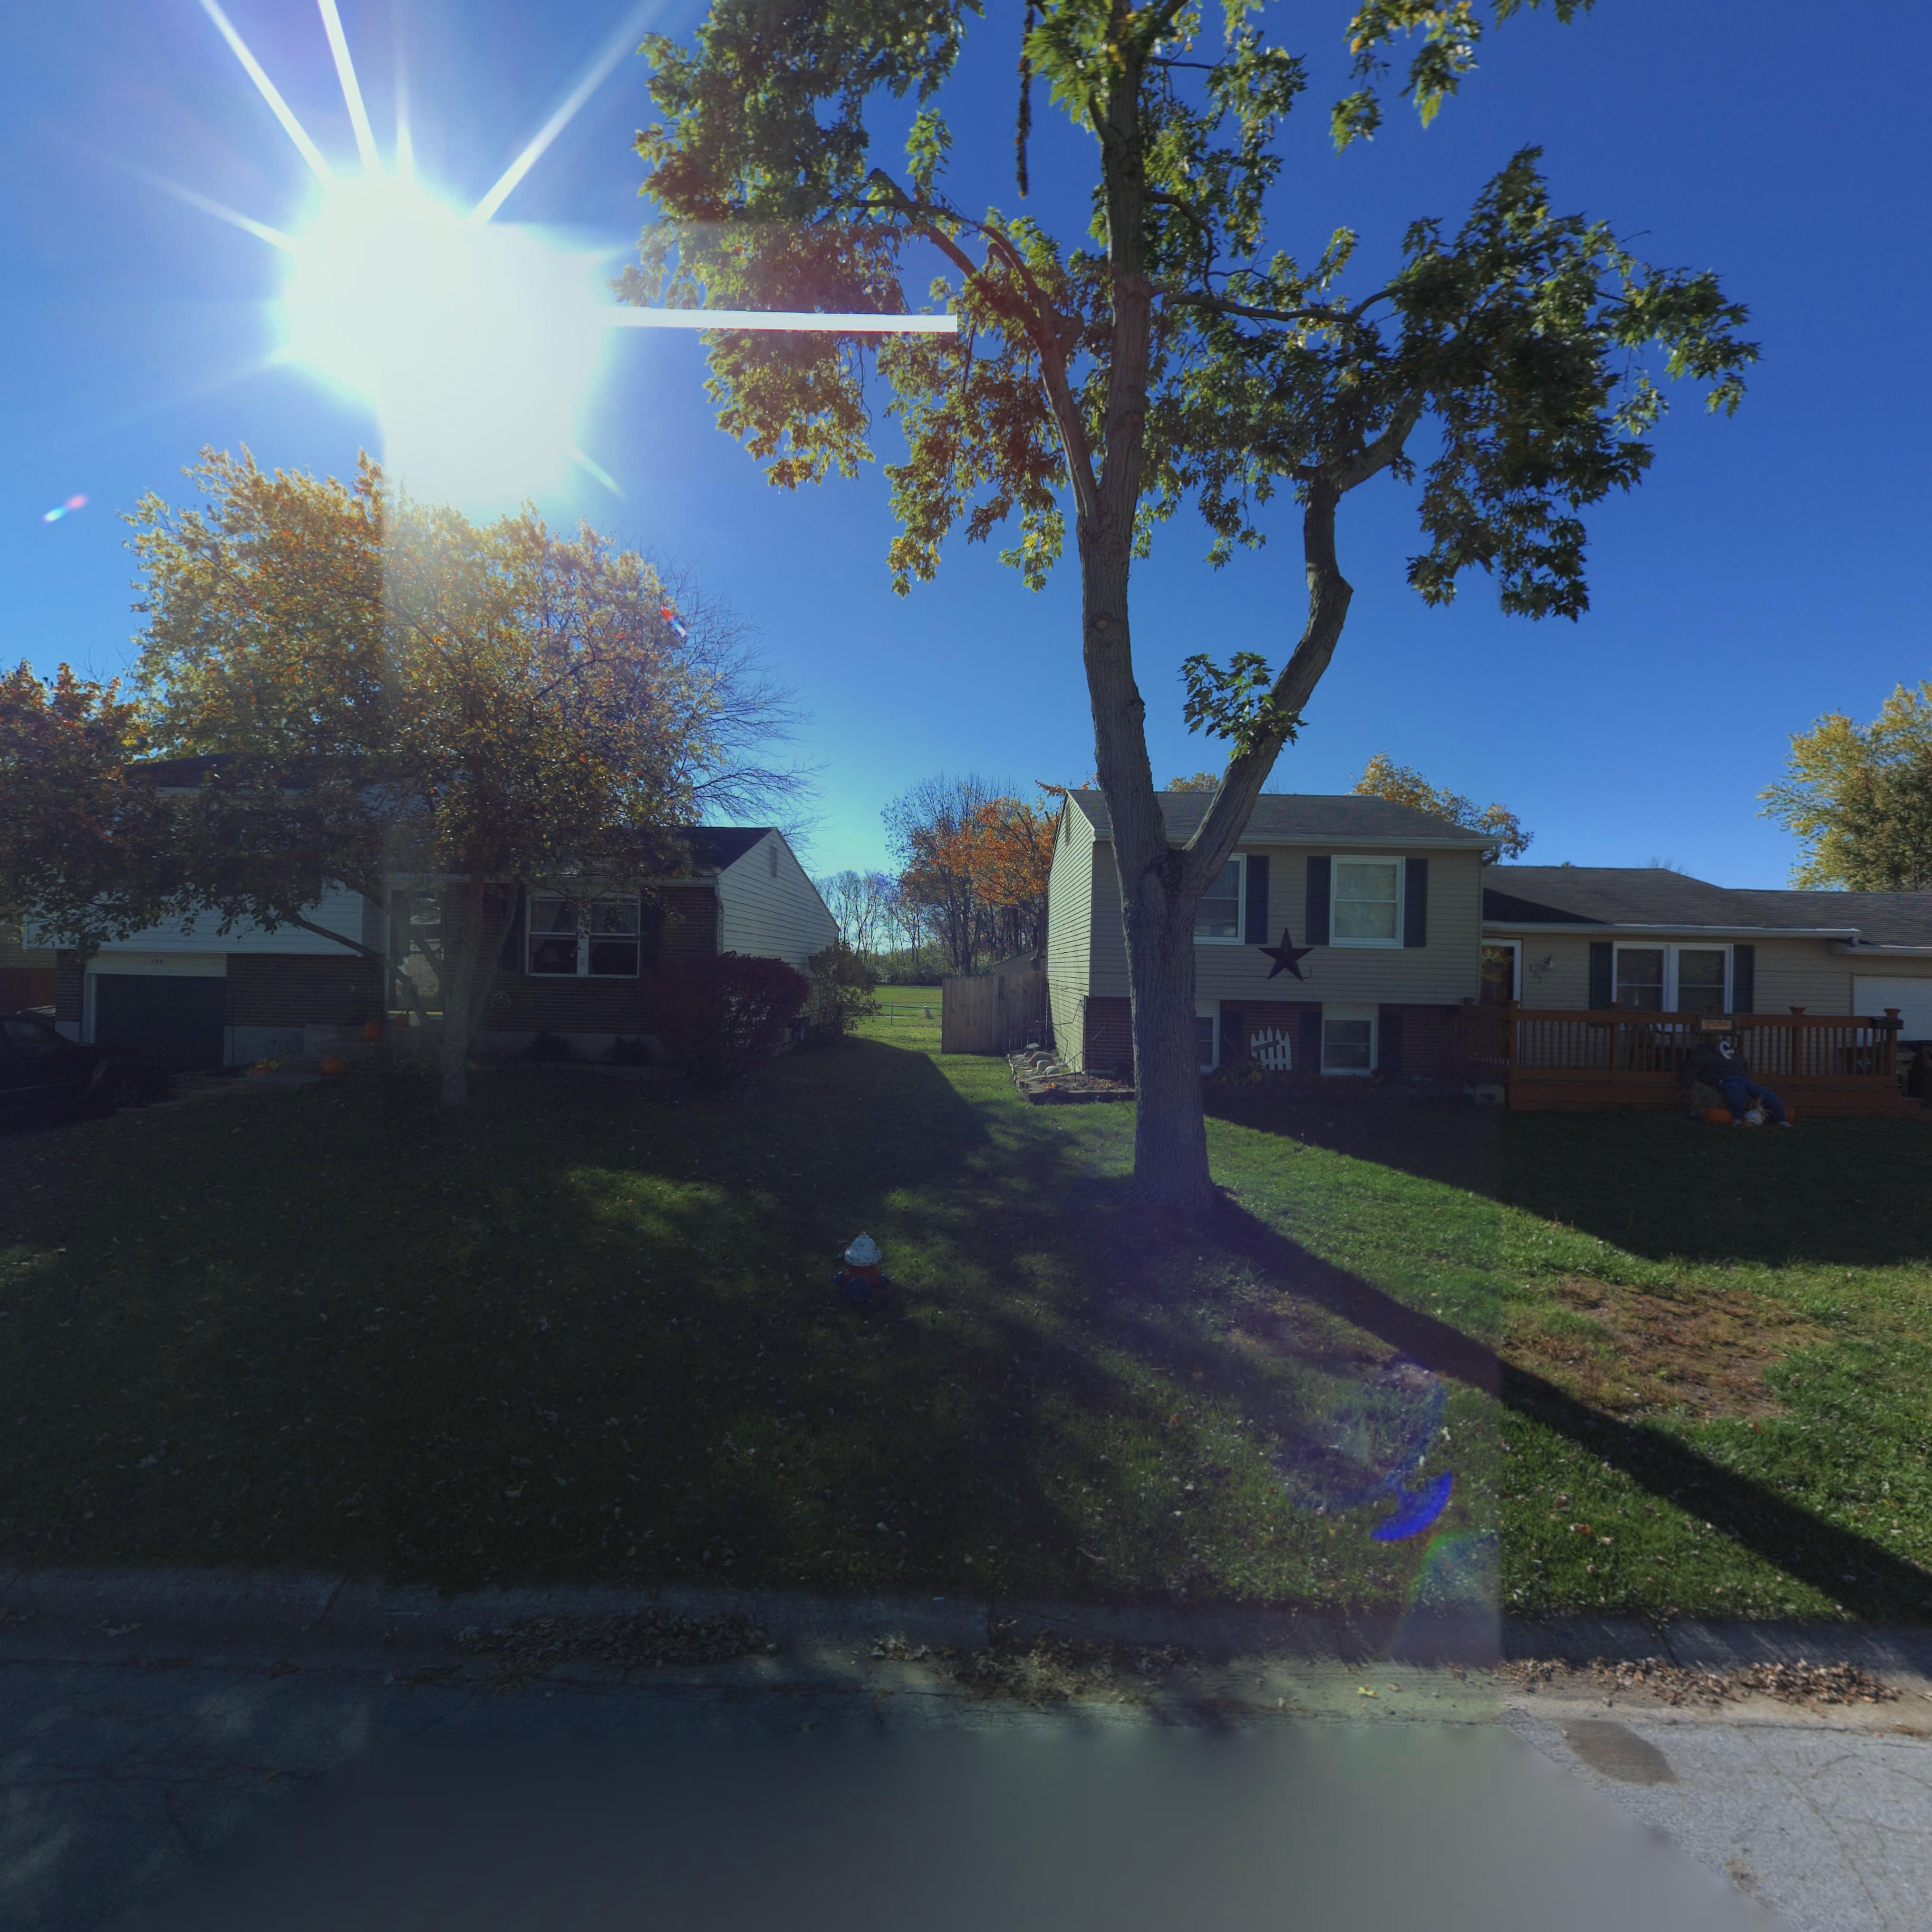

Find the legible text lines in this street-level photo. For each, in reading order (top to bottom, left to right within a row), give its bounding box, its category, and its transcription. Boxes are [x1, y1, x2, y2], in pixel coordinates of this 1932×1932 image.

[1528, 963, 1544, 985] StreetNumber: 137